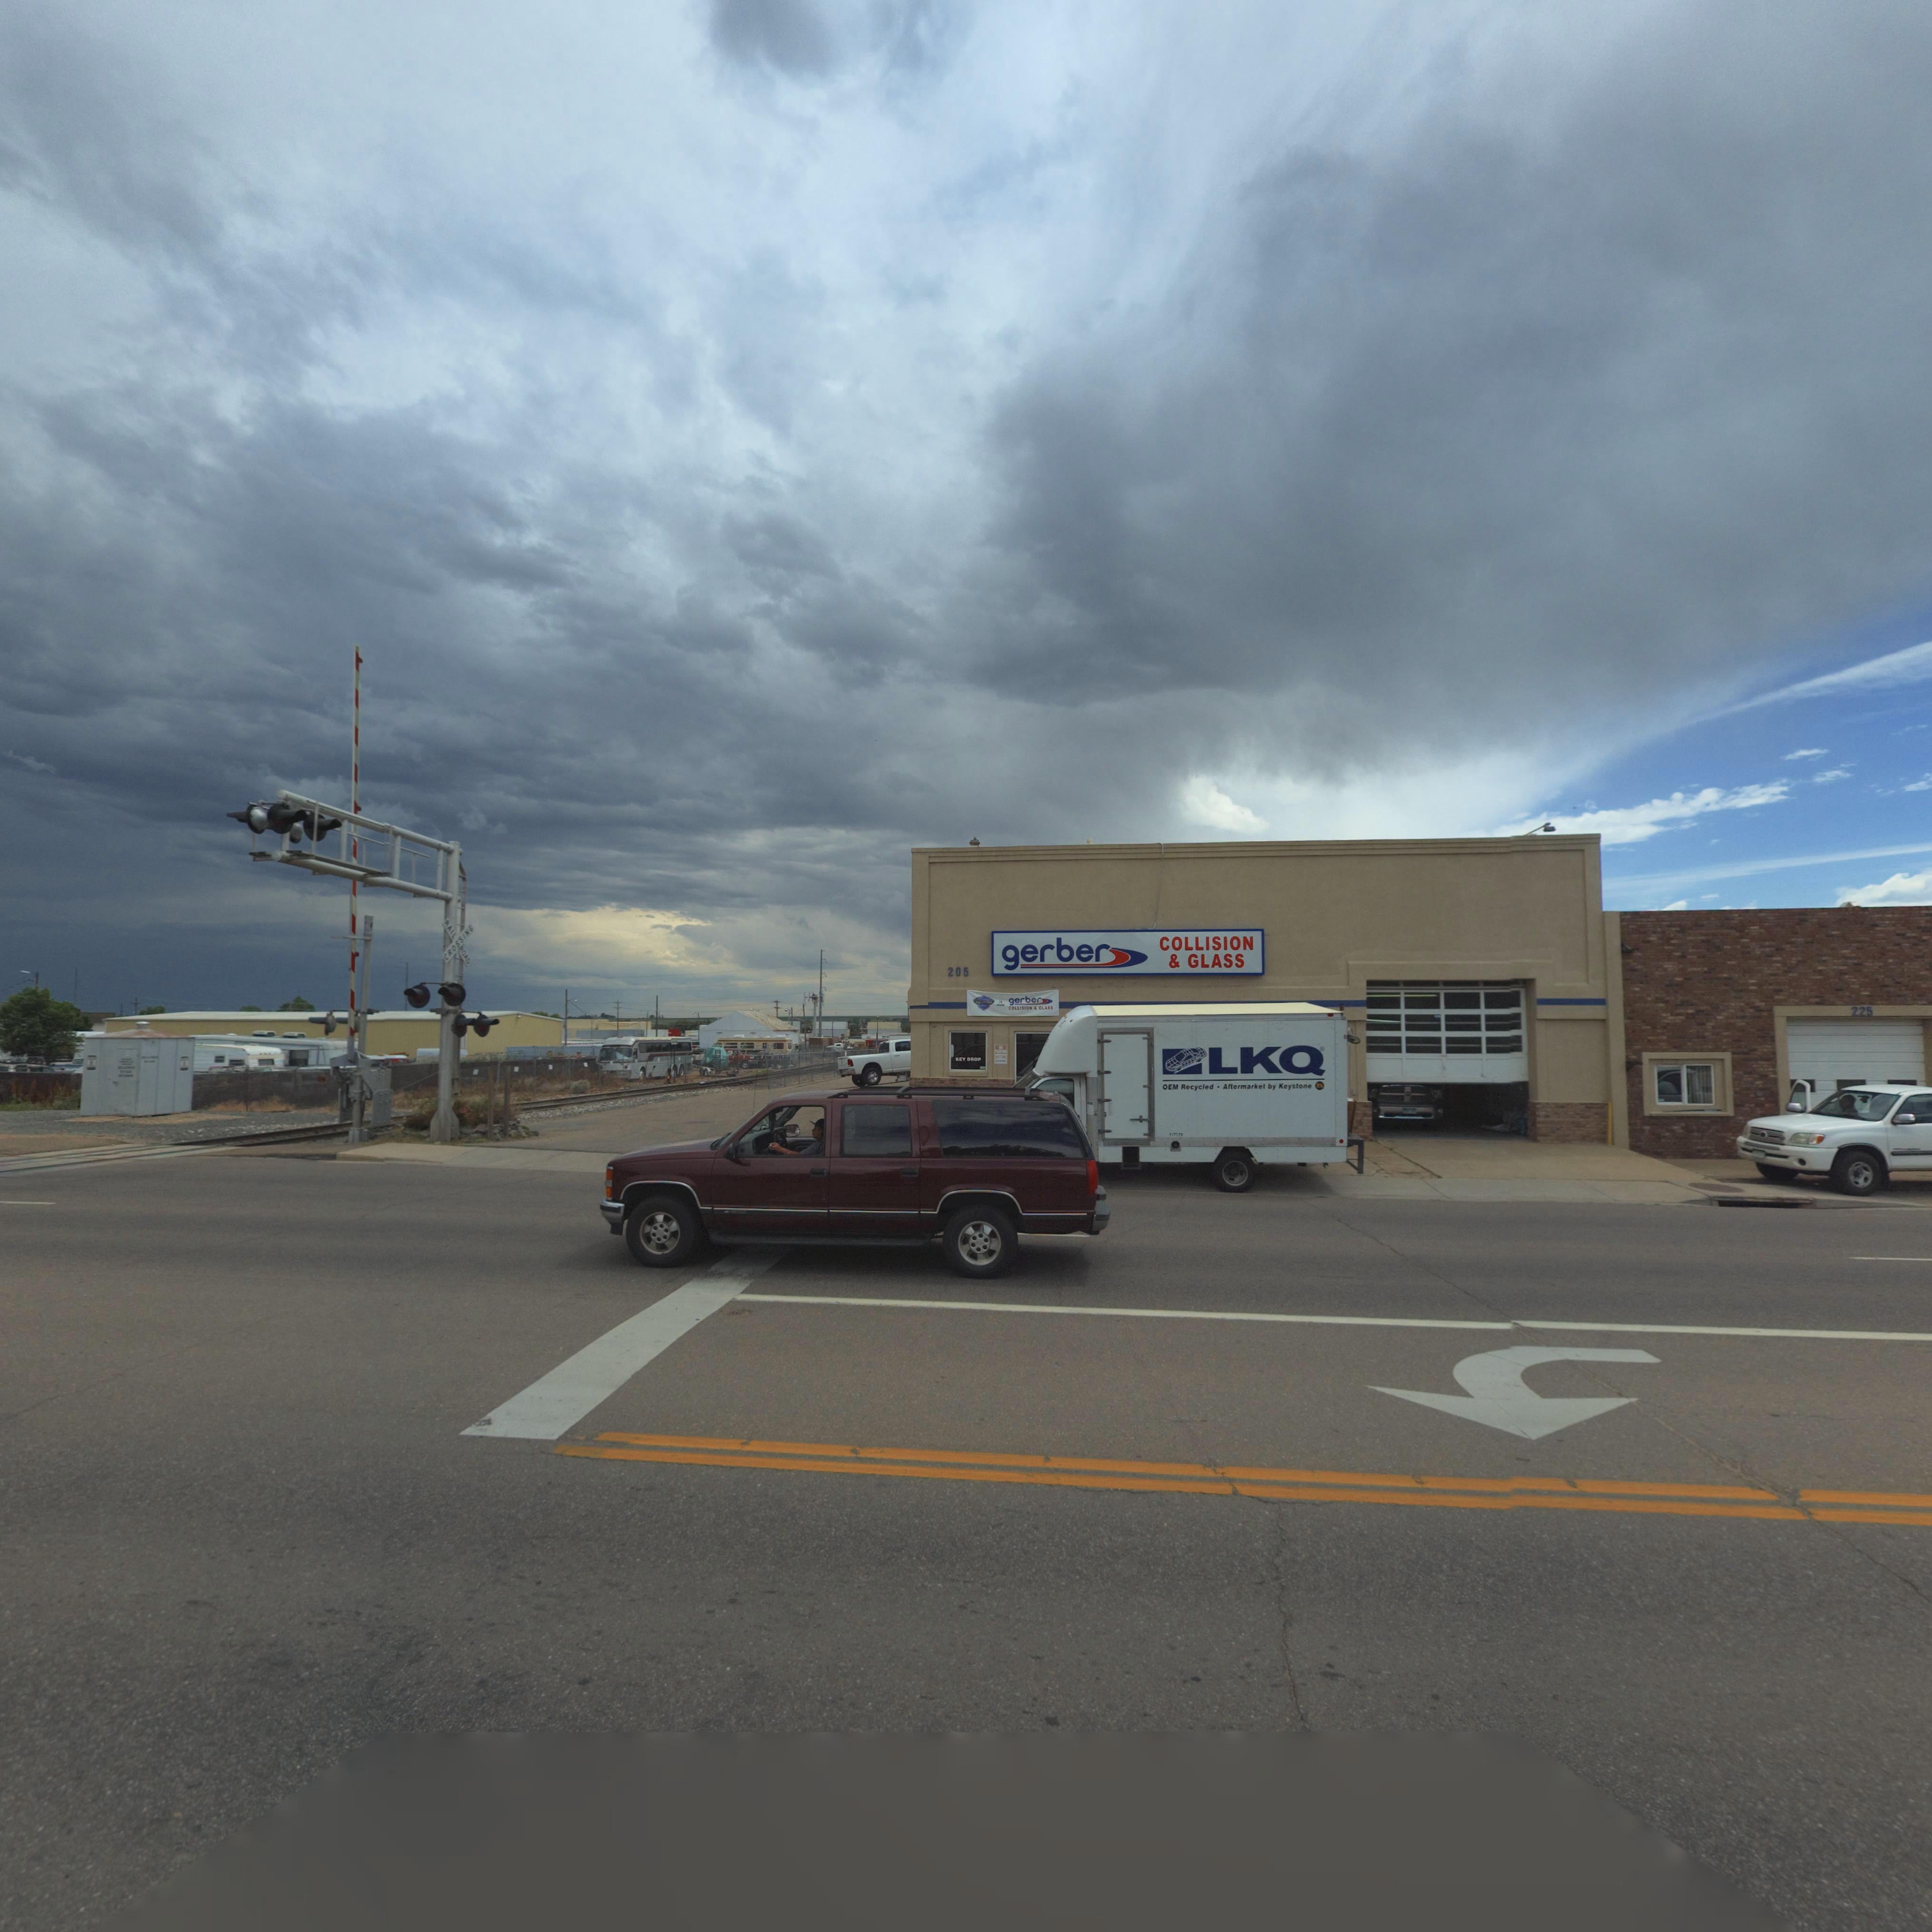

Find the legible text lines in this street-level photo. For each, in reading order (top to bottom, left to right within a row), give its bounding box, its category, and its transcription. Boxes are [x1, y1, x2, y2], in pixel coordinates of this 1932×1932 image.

[1159, 936, 1253, 951] BusinessName: COLLISION 
[1001, 937, 1111, 971] BusinessName: gerber
[1168, 953, 1245, 968] BusinessName: * GLASS
[947, 966, 969, 977] StreetNumber: 205
[1008, 995, 1042, 1005] BusinessName: gerber
[1008, 1005, 1053, 1010] BusinessName: COLLISION * GLASS
[1851, 1005, 1873, 1016] StreetNumber: 225